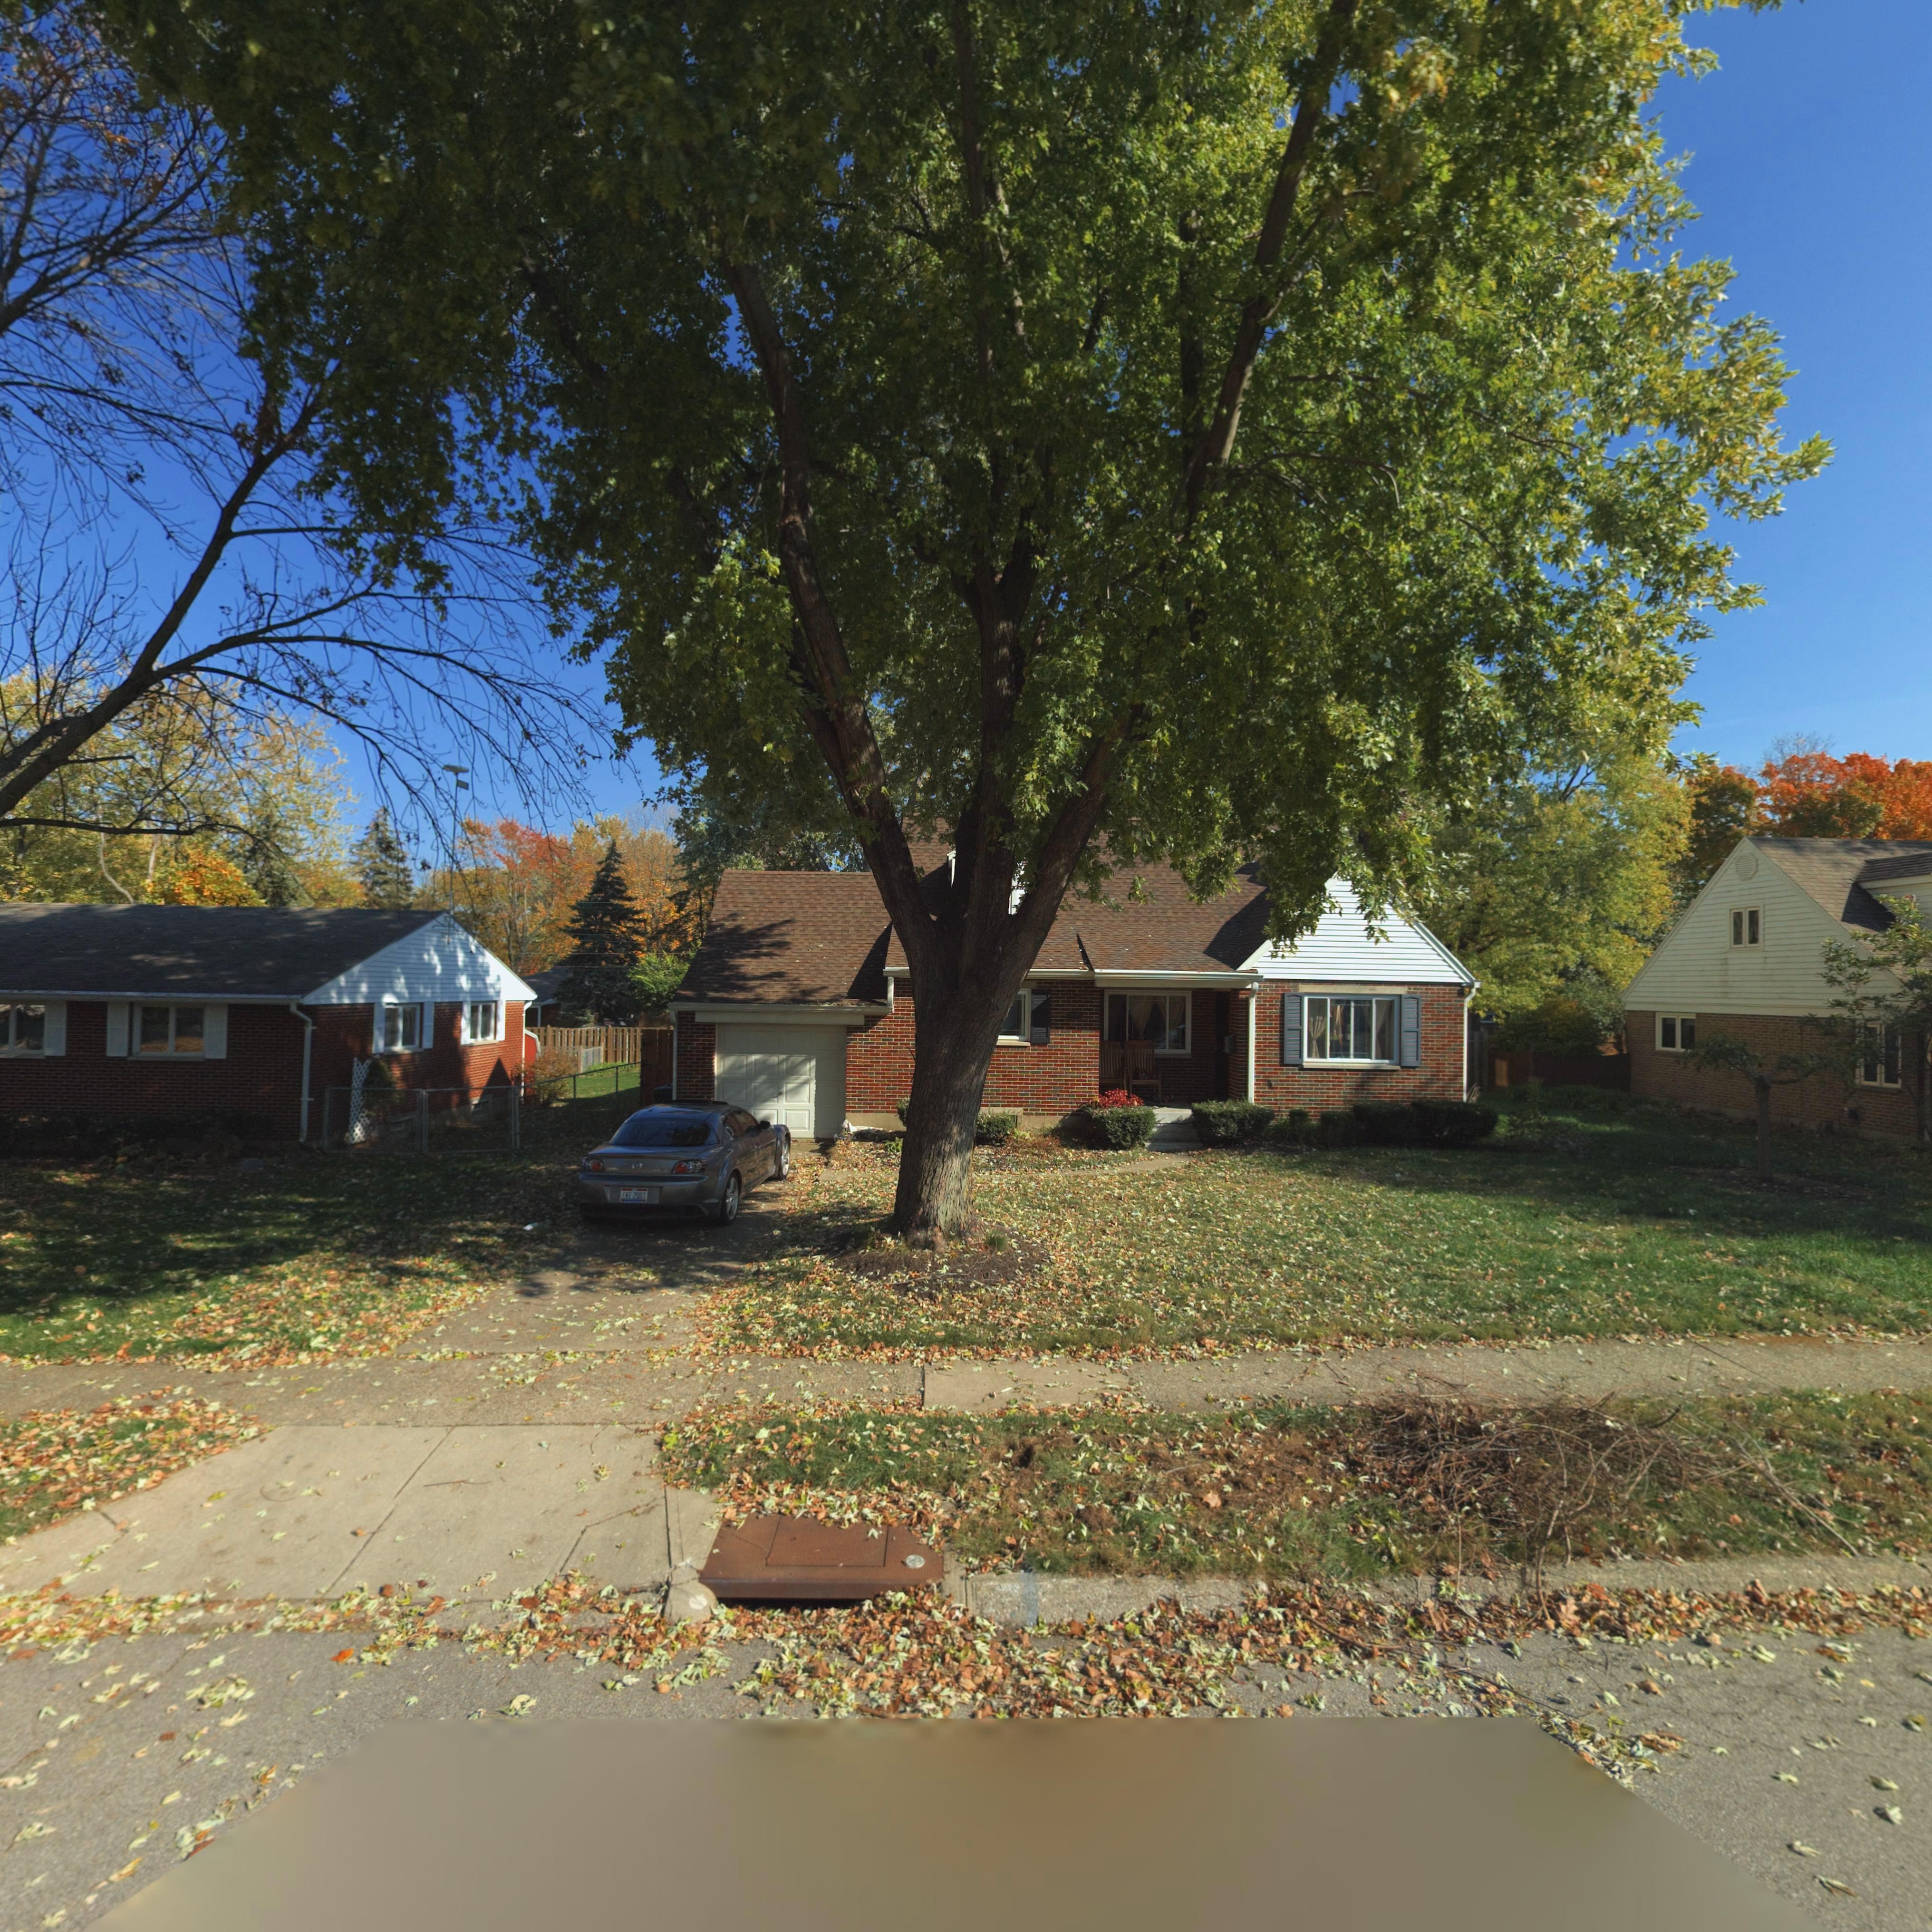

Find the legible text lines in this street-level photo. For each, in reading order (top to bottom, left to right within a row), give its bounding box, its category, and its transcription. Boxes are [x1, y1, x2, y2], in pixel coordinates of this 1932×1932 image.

[1068, 1012, 1082, 1018] StreetNumber: 3890
[621, 1191, 647, 1200] None: EKE*2007